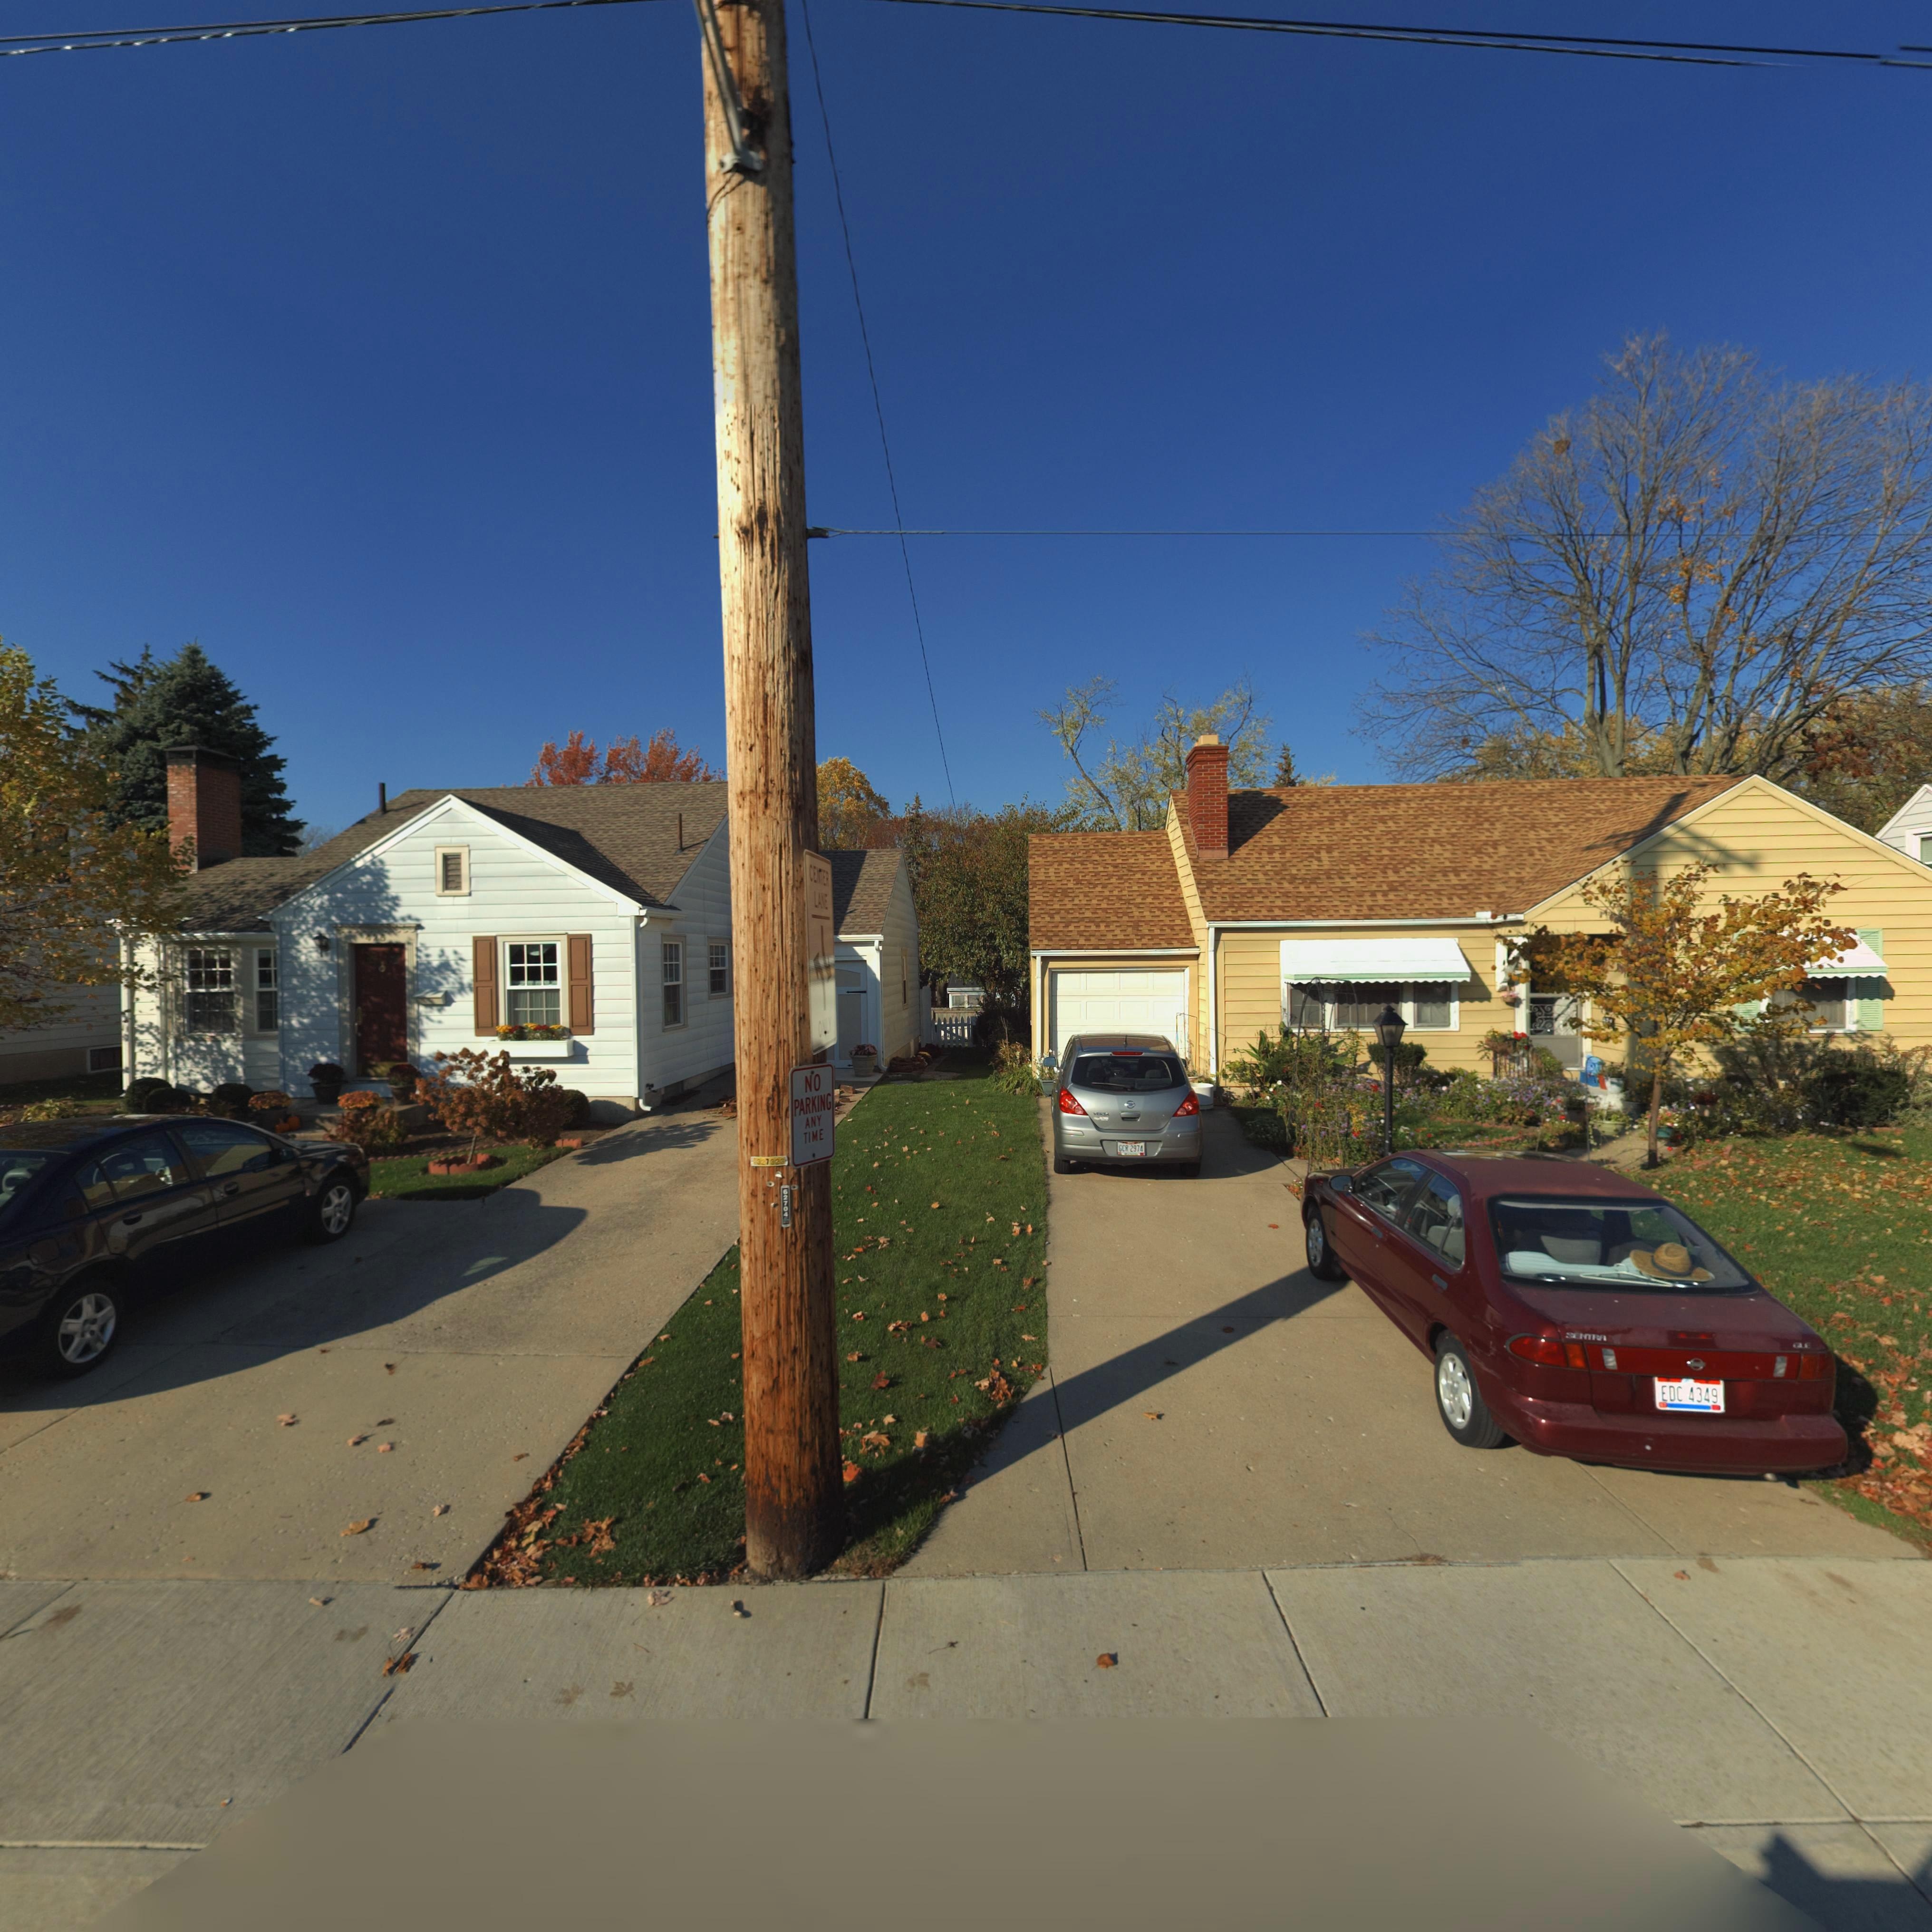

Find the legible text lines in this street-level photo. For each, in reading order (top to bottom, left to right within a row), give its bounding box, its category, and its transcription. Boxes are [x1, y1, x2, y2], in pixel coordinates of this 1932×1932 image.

[364, 933, 386, 942] StreetNumber: 425